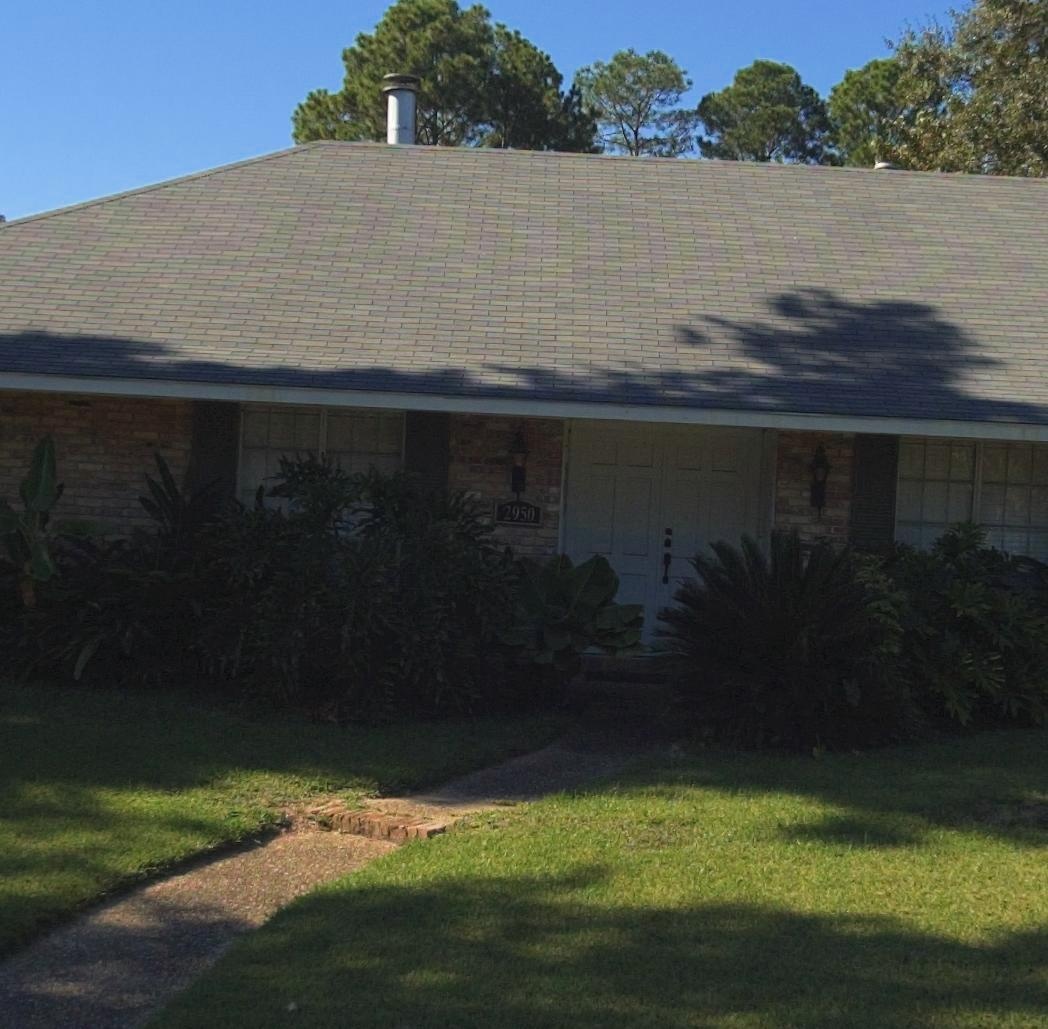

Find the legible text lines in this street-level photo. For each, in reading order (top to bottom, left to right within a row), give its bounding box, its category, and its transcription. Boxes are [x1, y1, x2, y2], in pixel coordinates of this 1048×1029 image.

[501, 503, 537, 523] StreetNumber: 2950